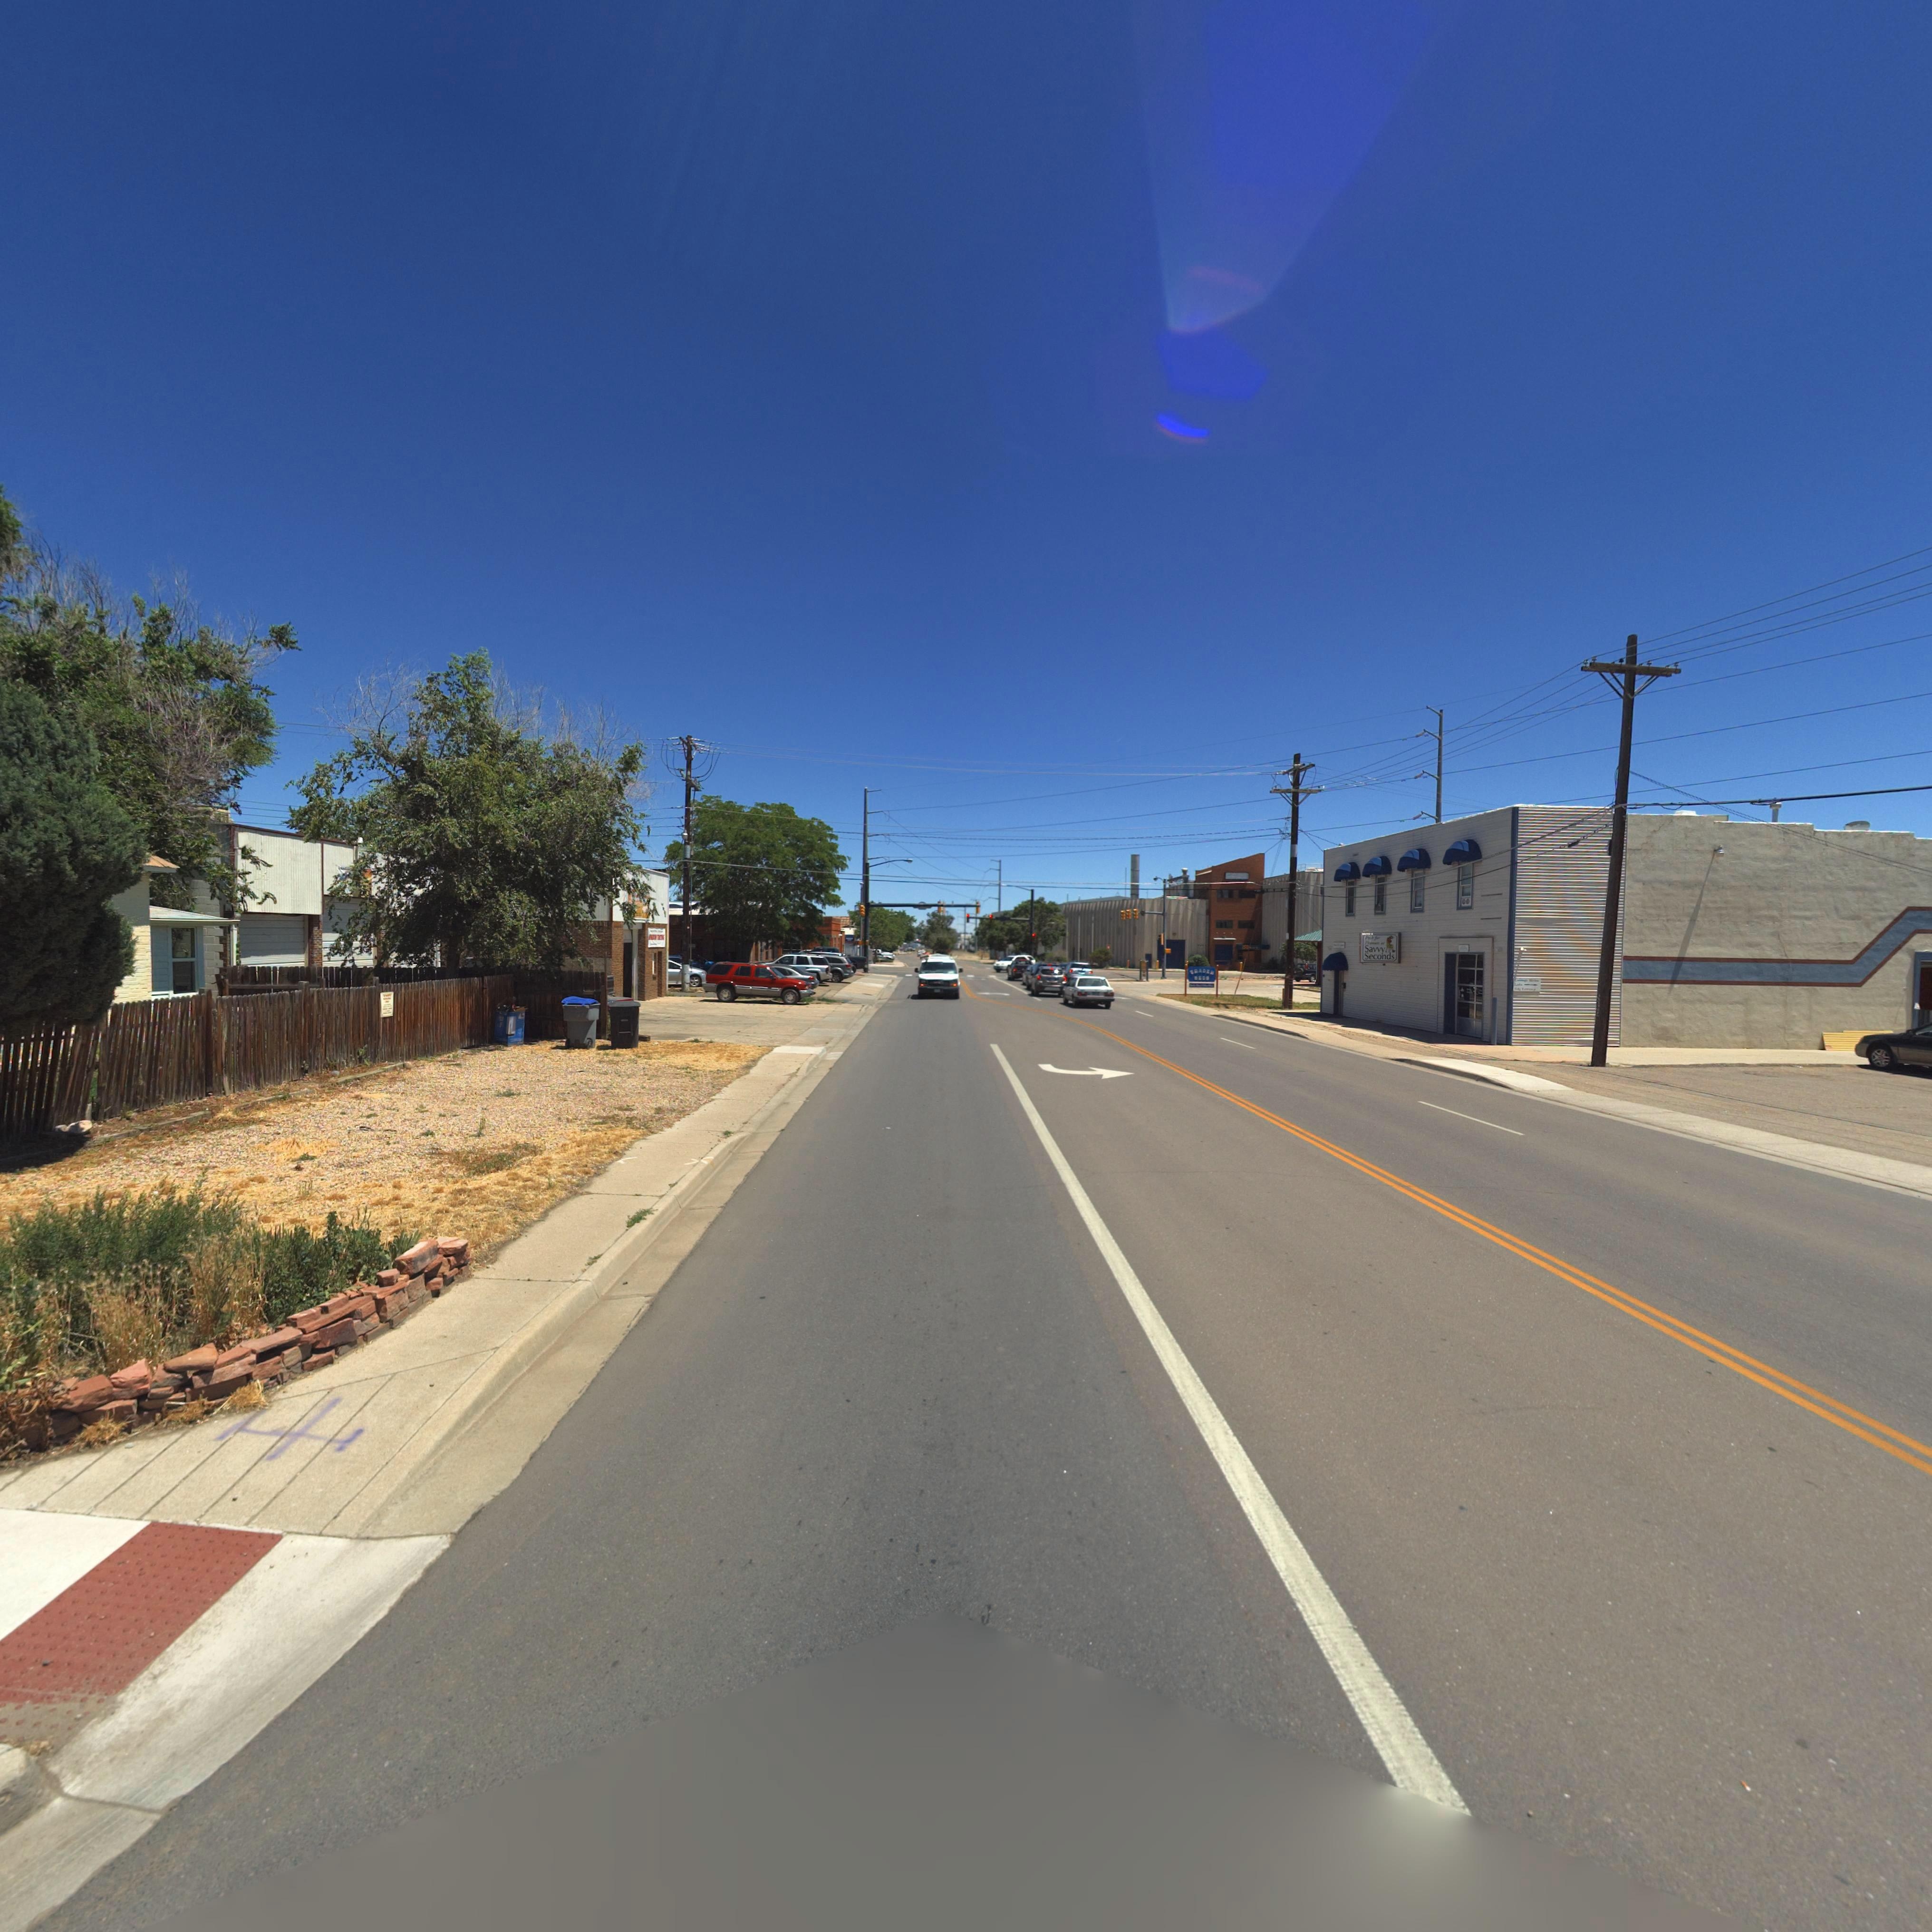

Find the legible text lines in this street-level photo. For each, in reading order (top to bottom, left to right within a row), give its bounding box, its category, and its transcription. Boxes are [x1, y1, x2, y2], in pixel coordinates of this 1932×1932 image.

[1241, 944, 1249, 949] StreetNumber: 150
[1364, 944, 1385, 954] BusinessName: Savvy
[1364, 952, 1394, 960] BusinessName: Seconds
[1189, 968, 1215, 975] BusinessName: TRADER
[1194, 976, 1209, 980] BusinessName: nEDS